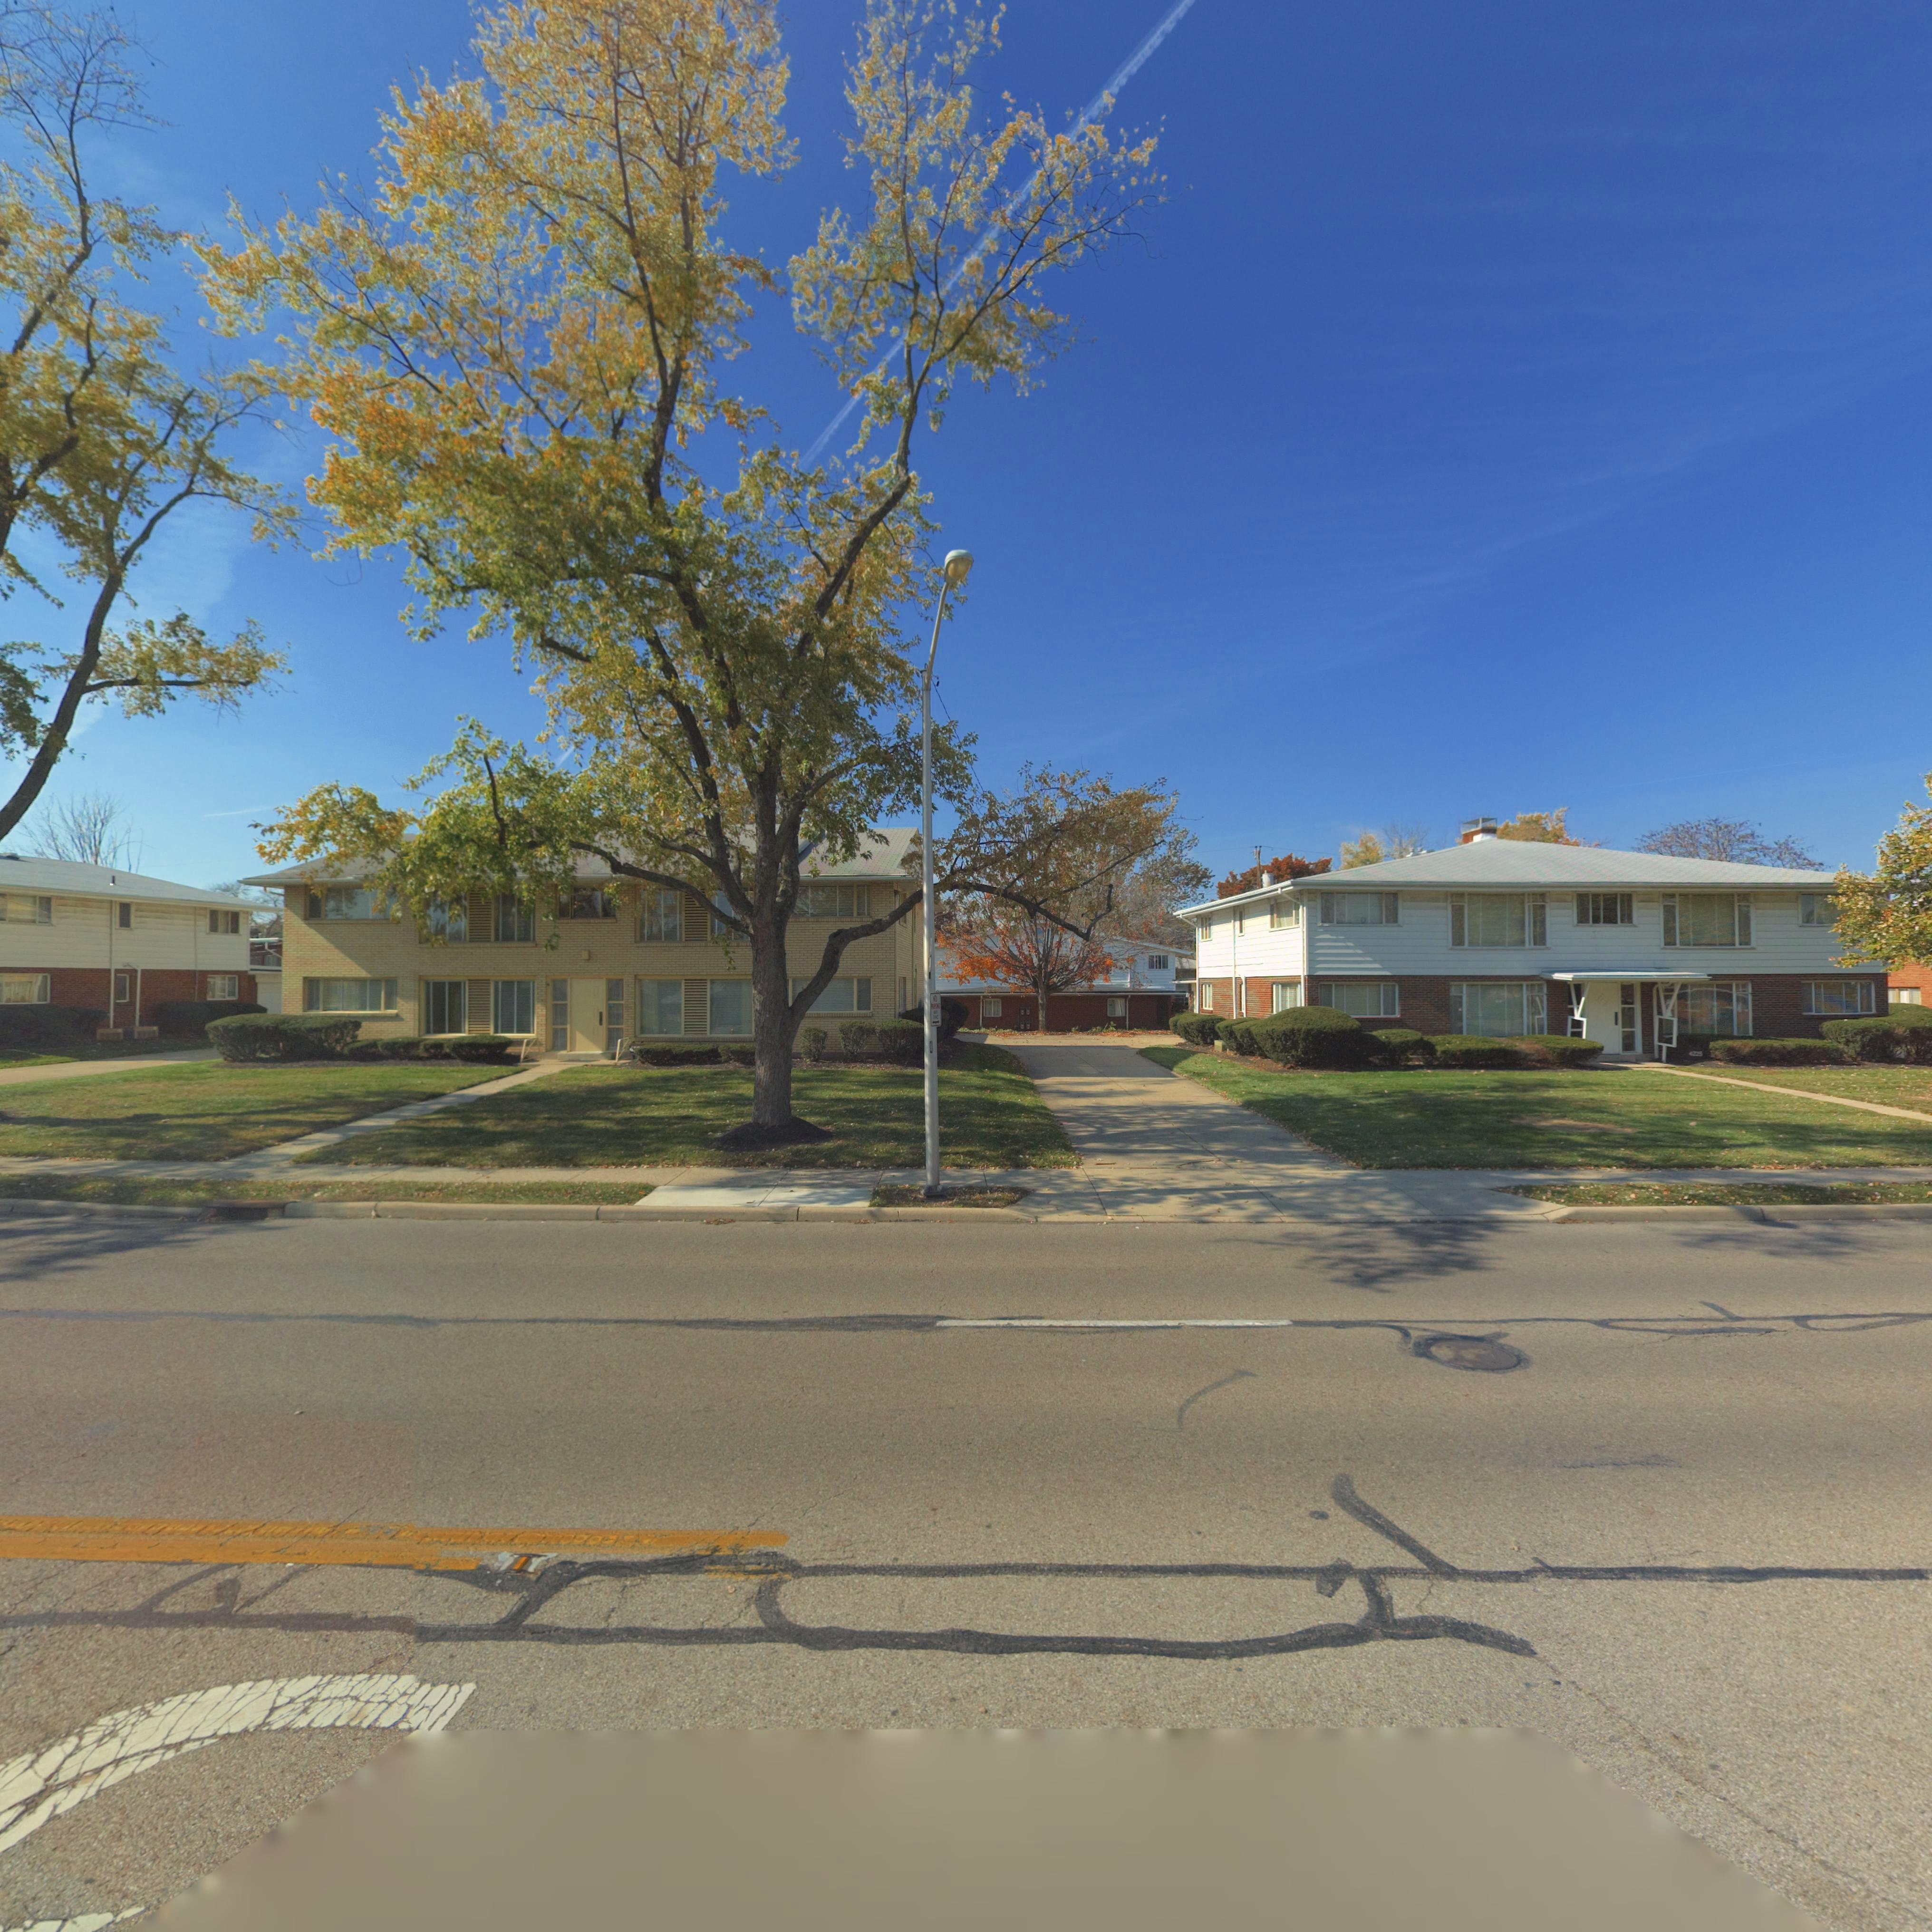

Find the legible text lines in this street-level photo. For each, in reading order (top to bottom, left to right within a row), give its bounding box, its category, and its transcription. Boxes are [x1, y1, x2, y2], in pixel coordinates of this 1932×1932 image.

[933, 995, 938, 1003] None: NO
[629, 1046, 634, 1052] StreetNumber: 4
[1688, 1051, 1703, 1057] StreetNumber: 4225